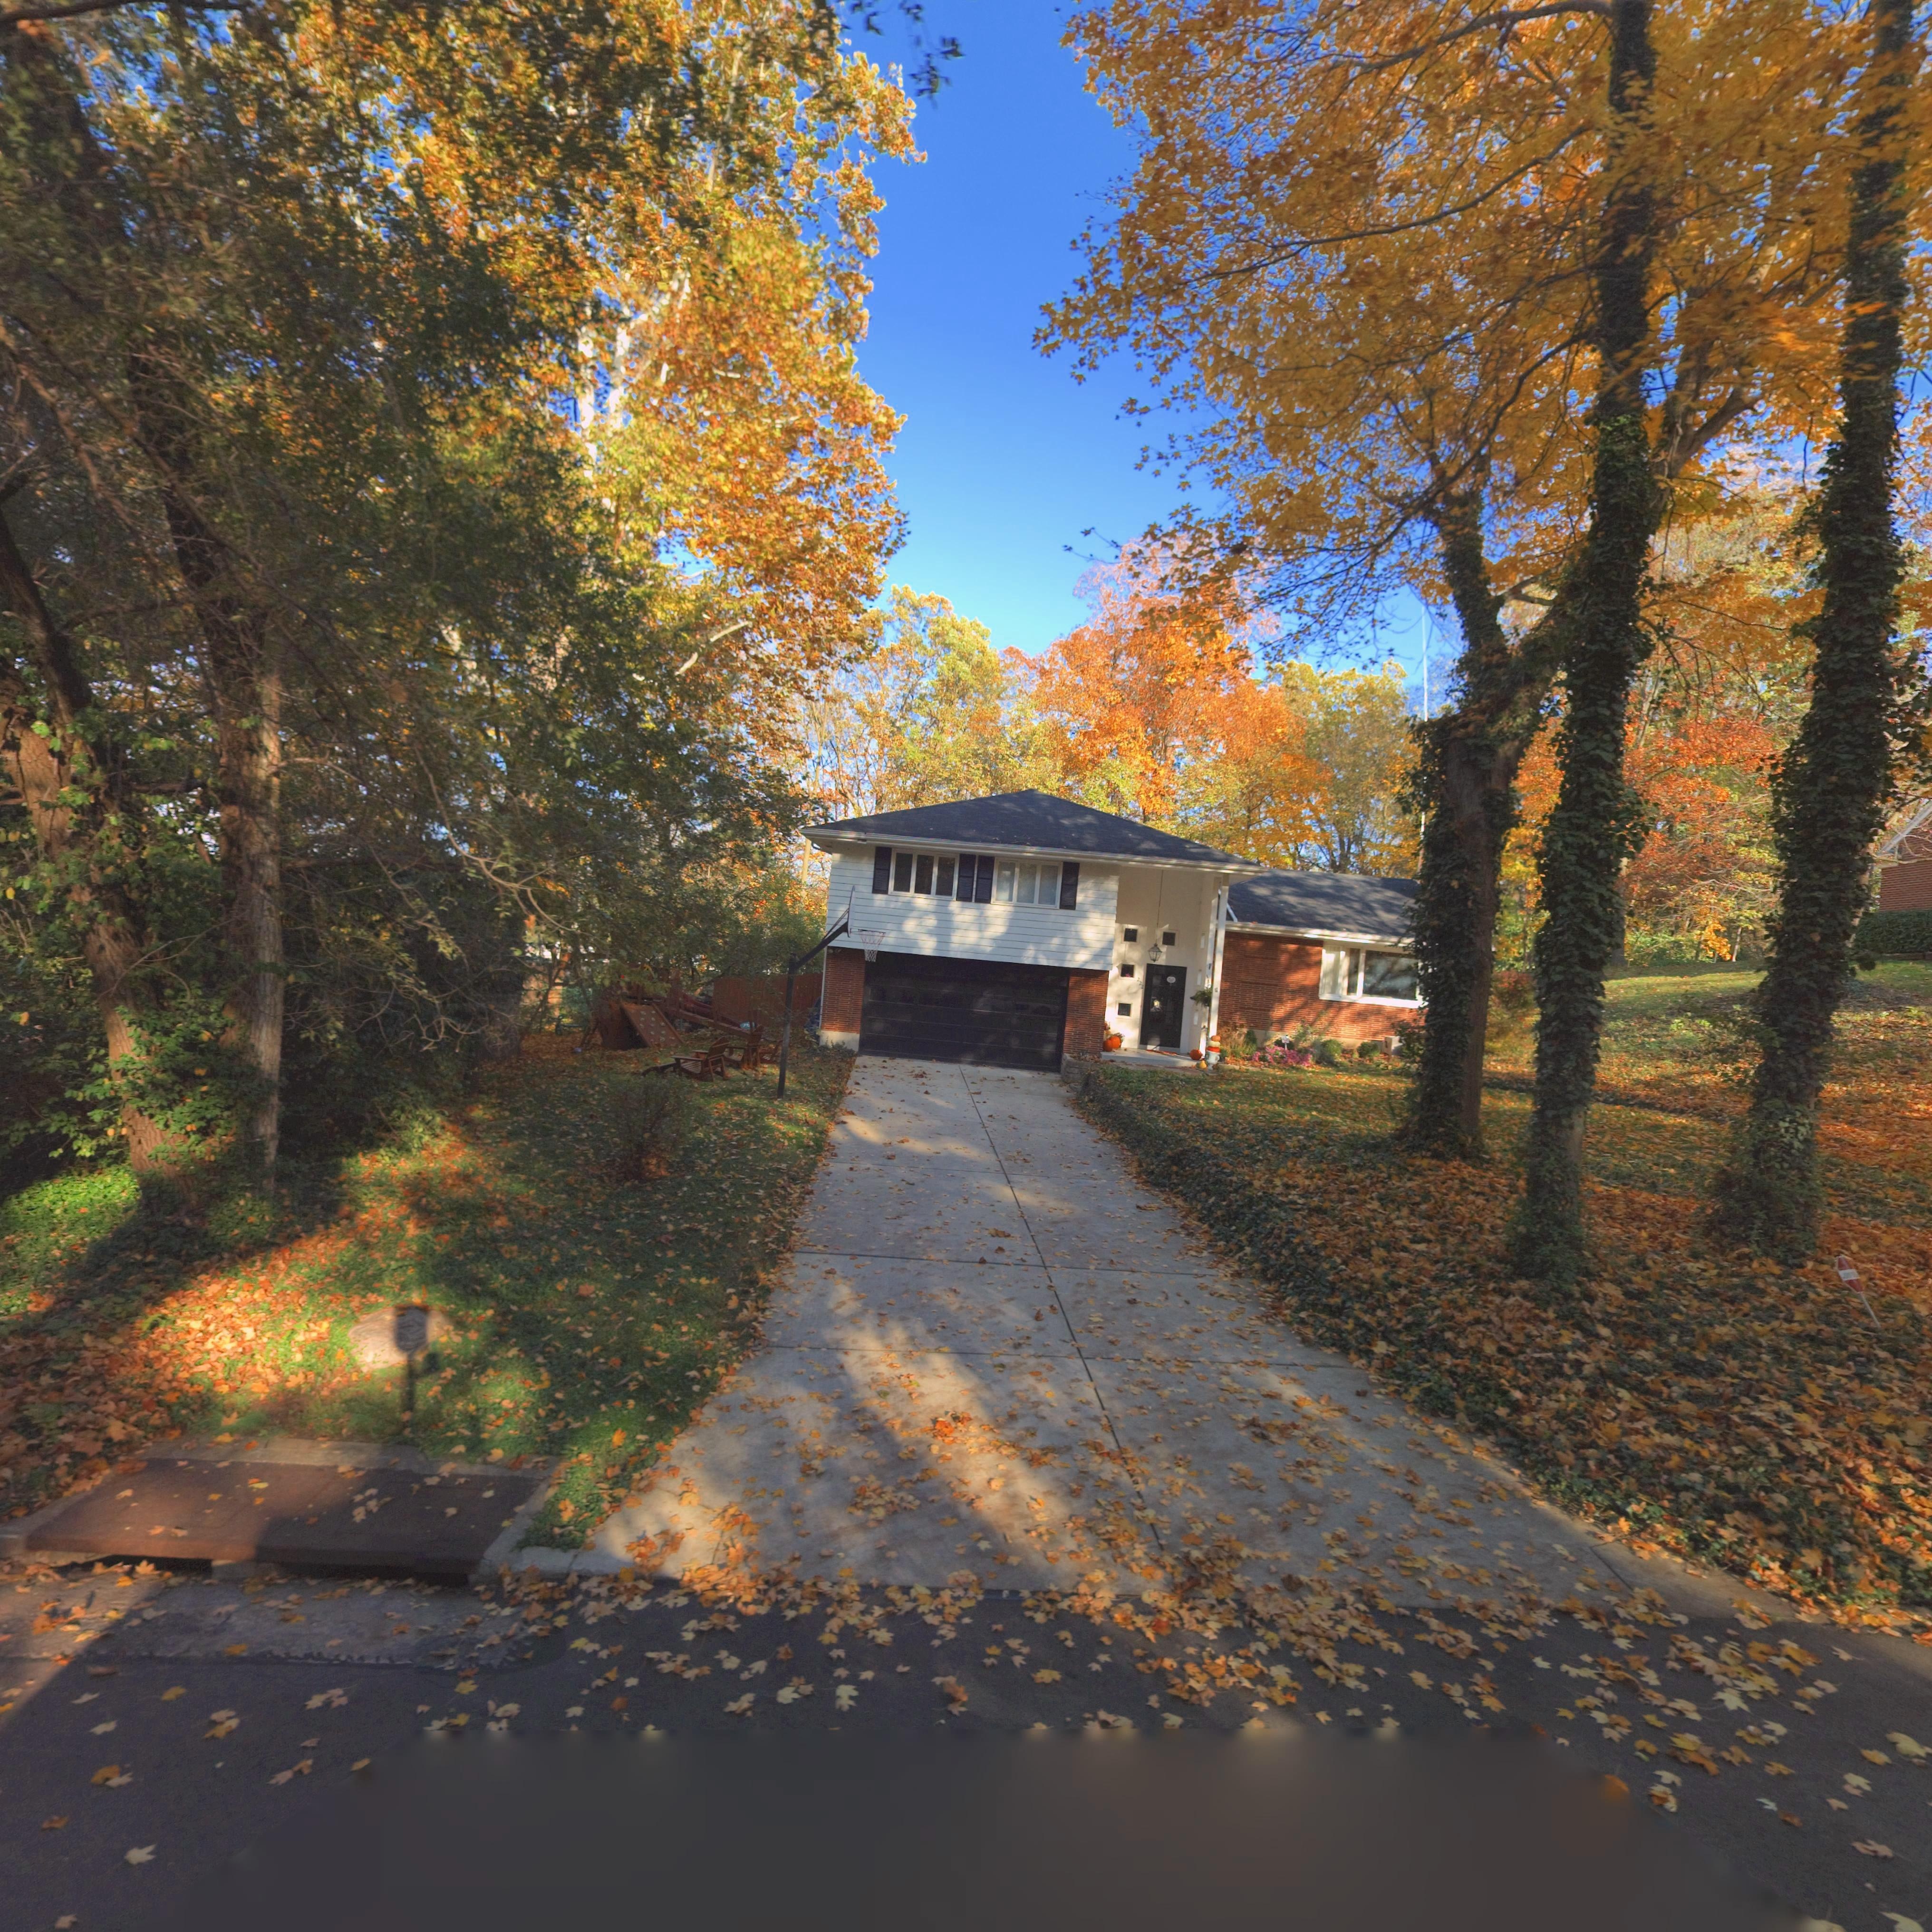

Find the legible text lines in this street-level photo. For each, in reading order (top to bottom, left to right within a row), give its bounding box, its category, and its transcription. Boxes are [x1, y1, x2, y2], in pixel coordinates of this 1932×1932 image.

[1135, 976, 1145, 990] StreetNumber: 222